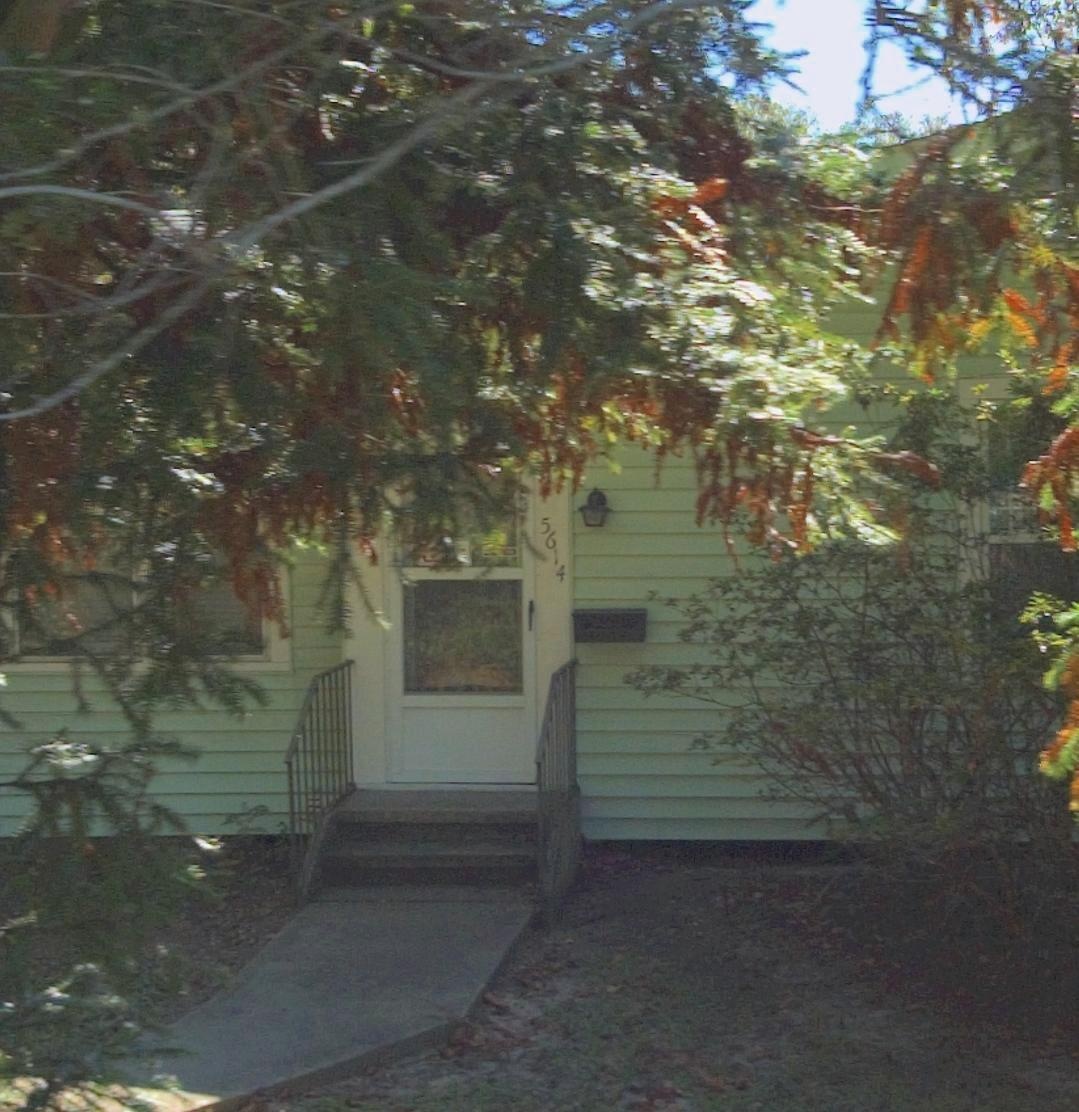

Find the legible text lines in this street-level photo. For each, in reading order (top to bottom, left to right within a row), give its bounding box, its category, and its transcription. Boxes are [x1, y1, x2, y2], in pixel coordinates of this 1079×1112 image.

[537, 515, 570, 587] StreetNumber: 5614